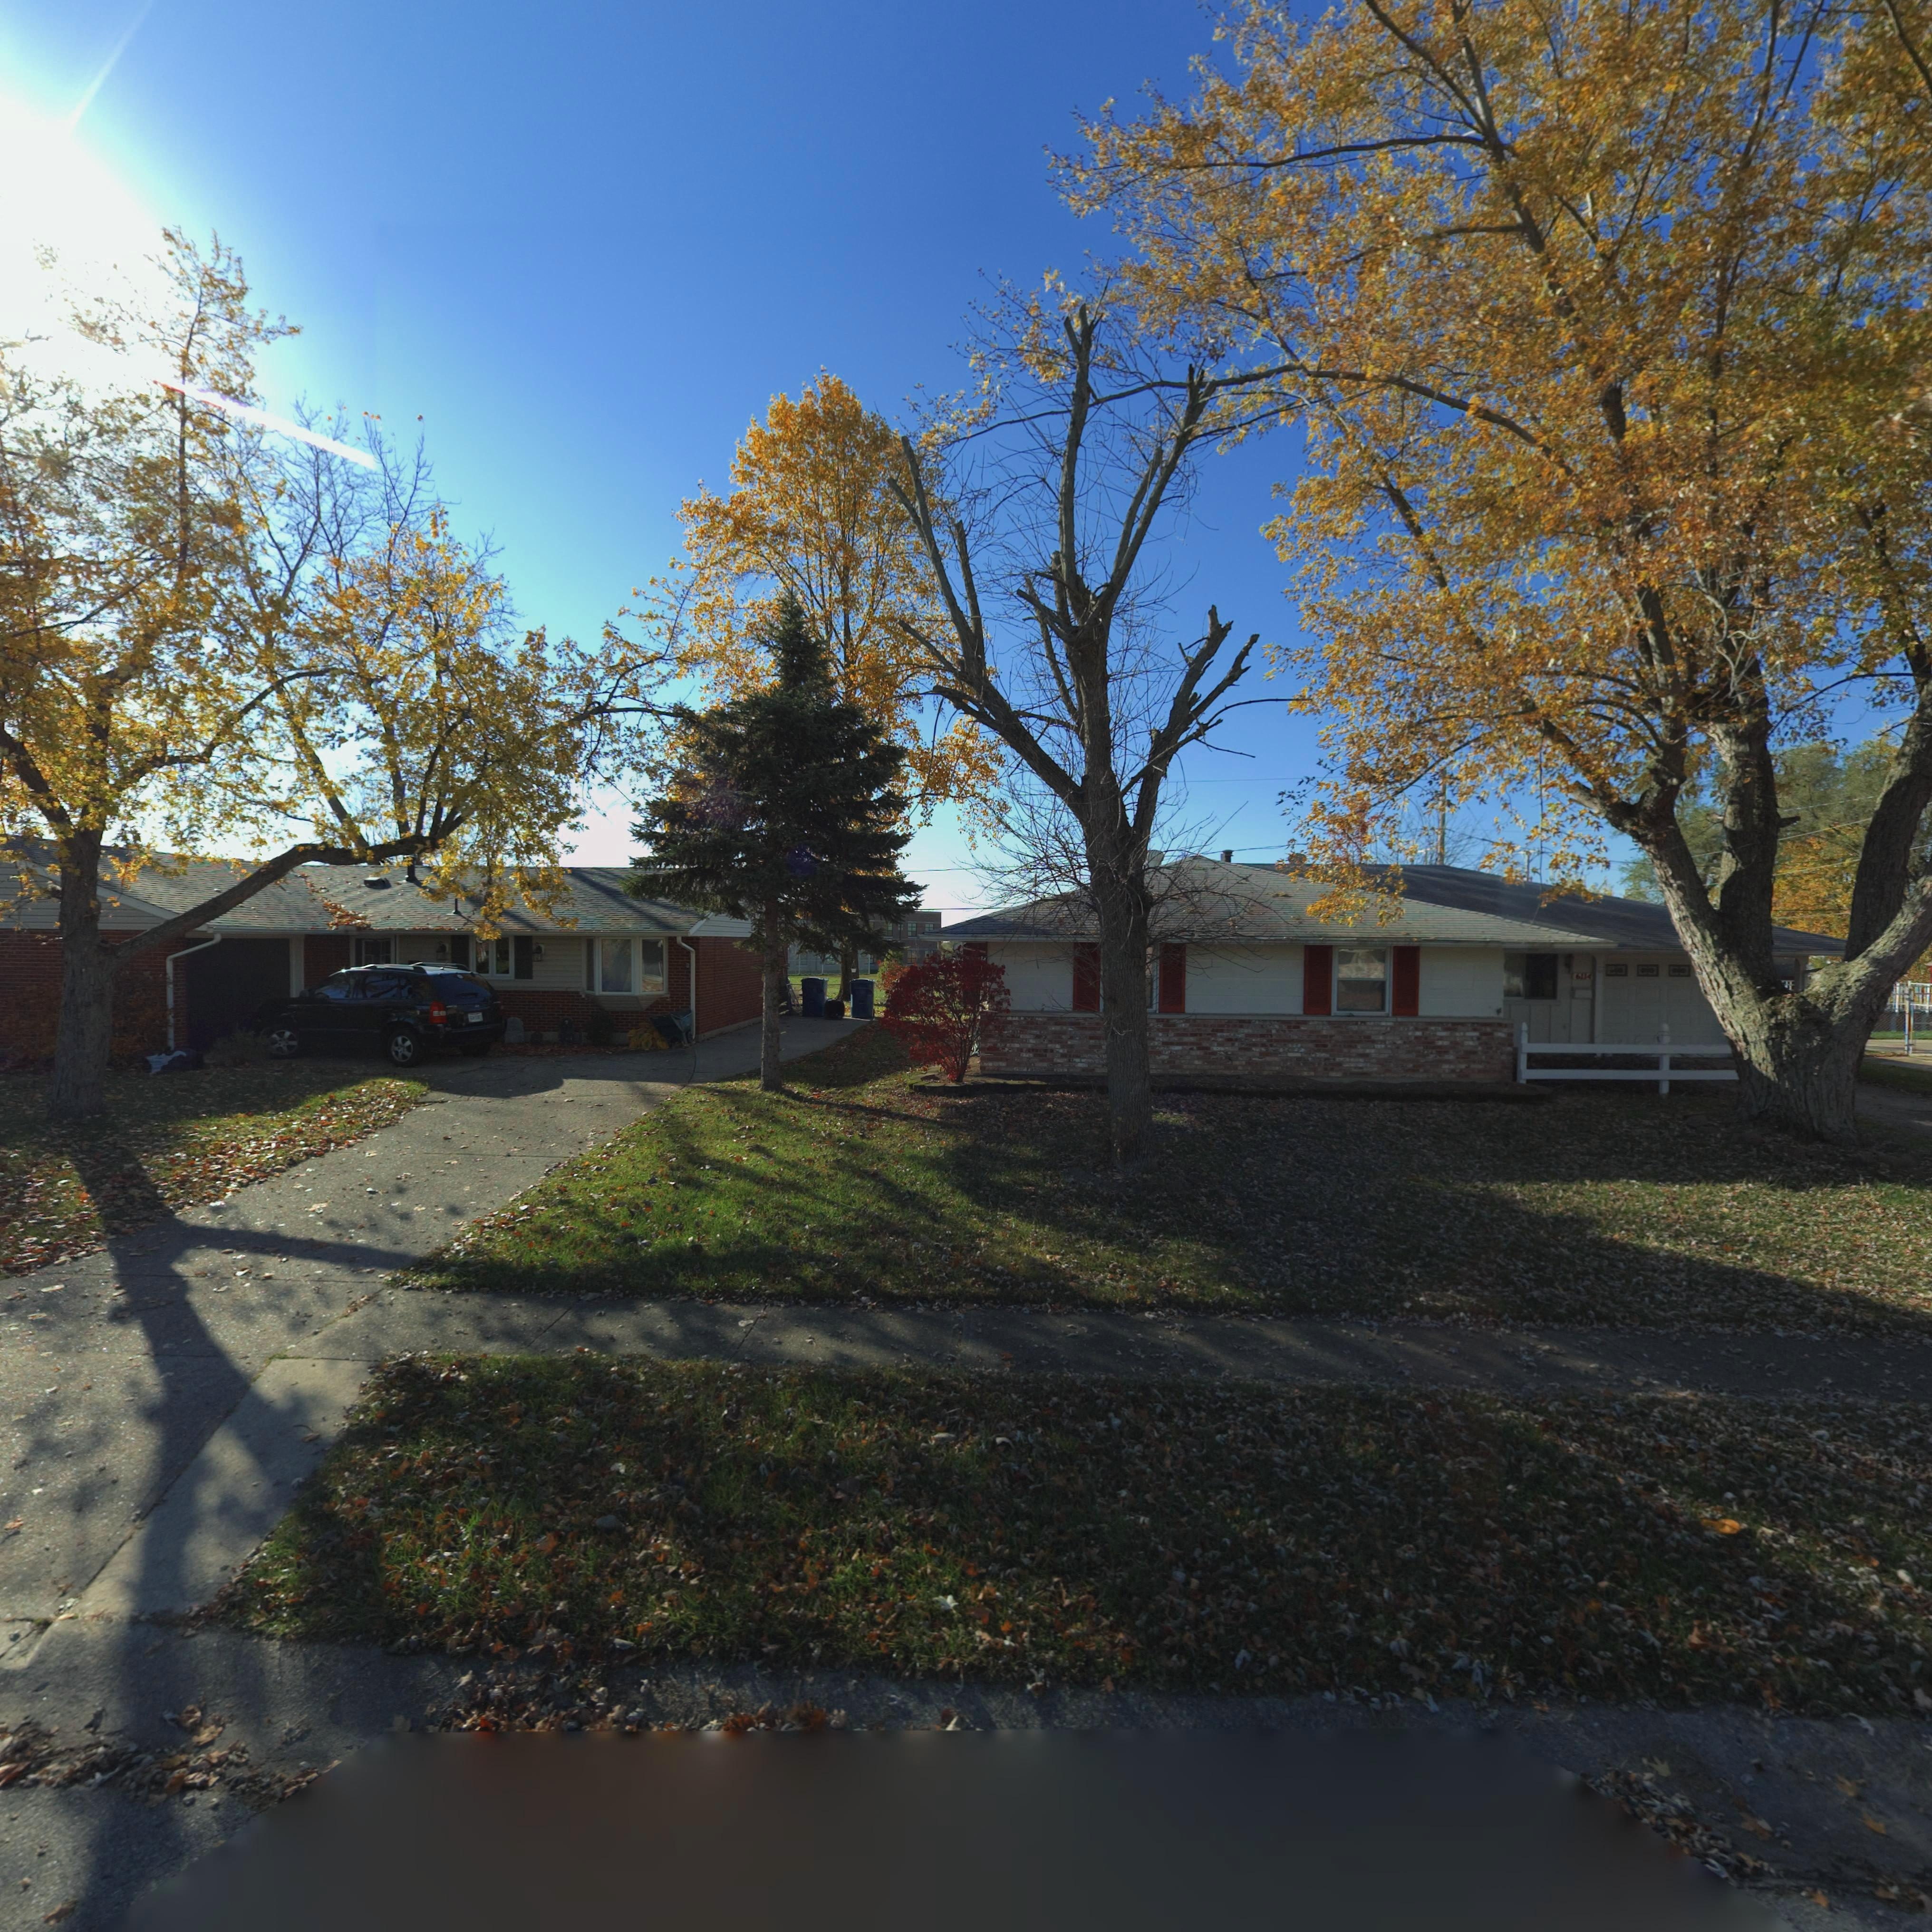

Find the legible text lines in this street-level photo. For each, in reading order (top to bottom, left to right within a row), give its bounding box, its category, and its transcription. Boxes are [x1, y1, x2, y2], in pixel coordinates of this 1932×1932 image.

[1575, 973, 1593, 980] StreetNumber: 6114